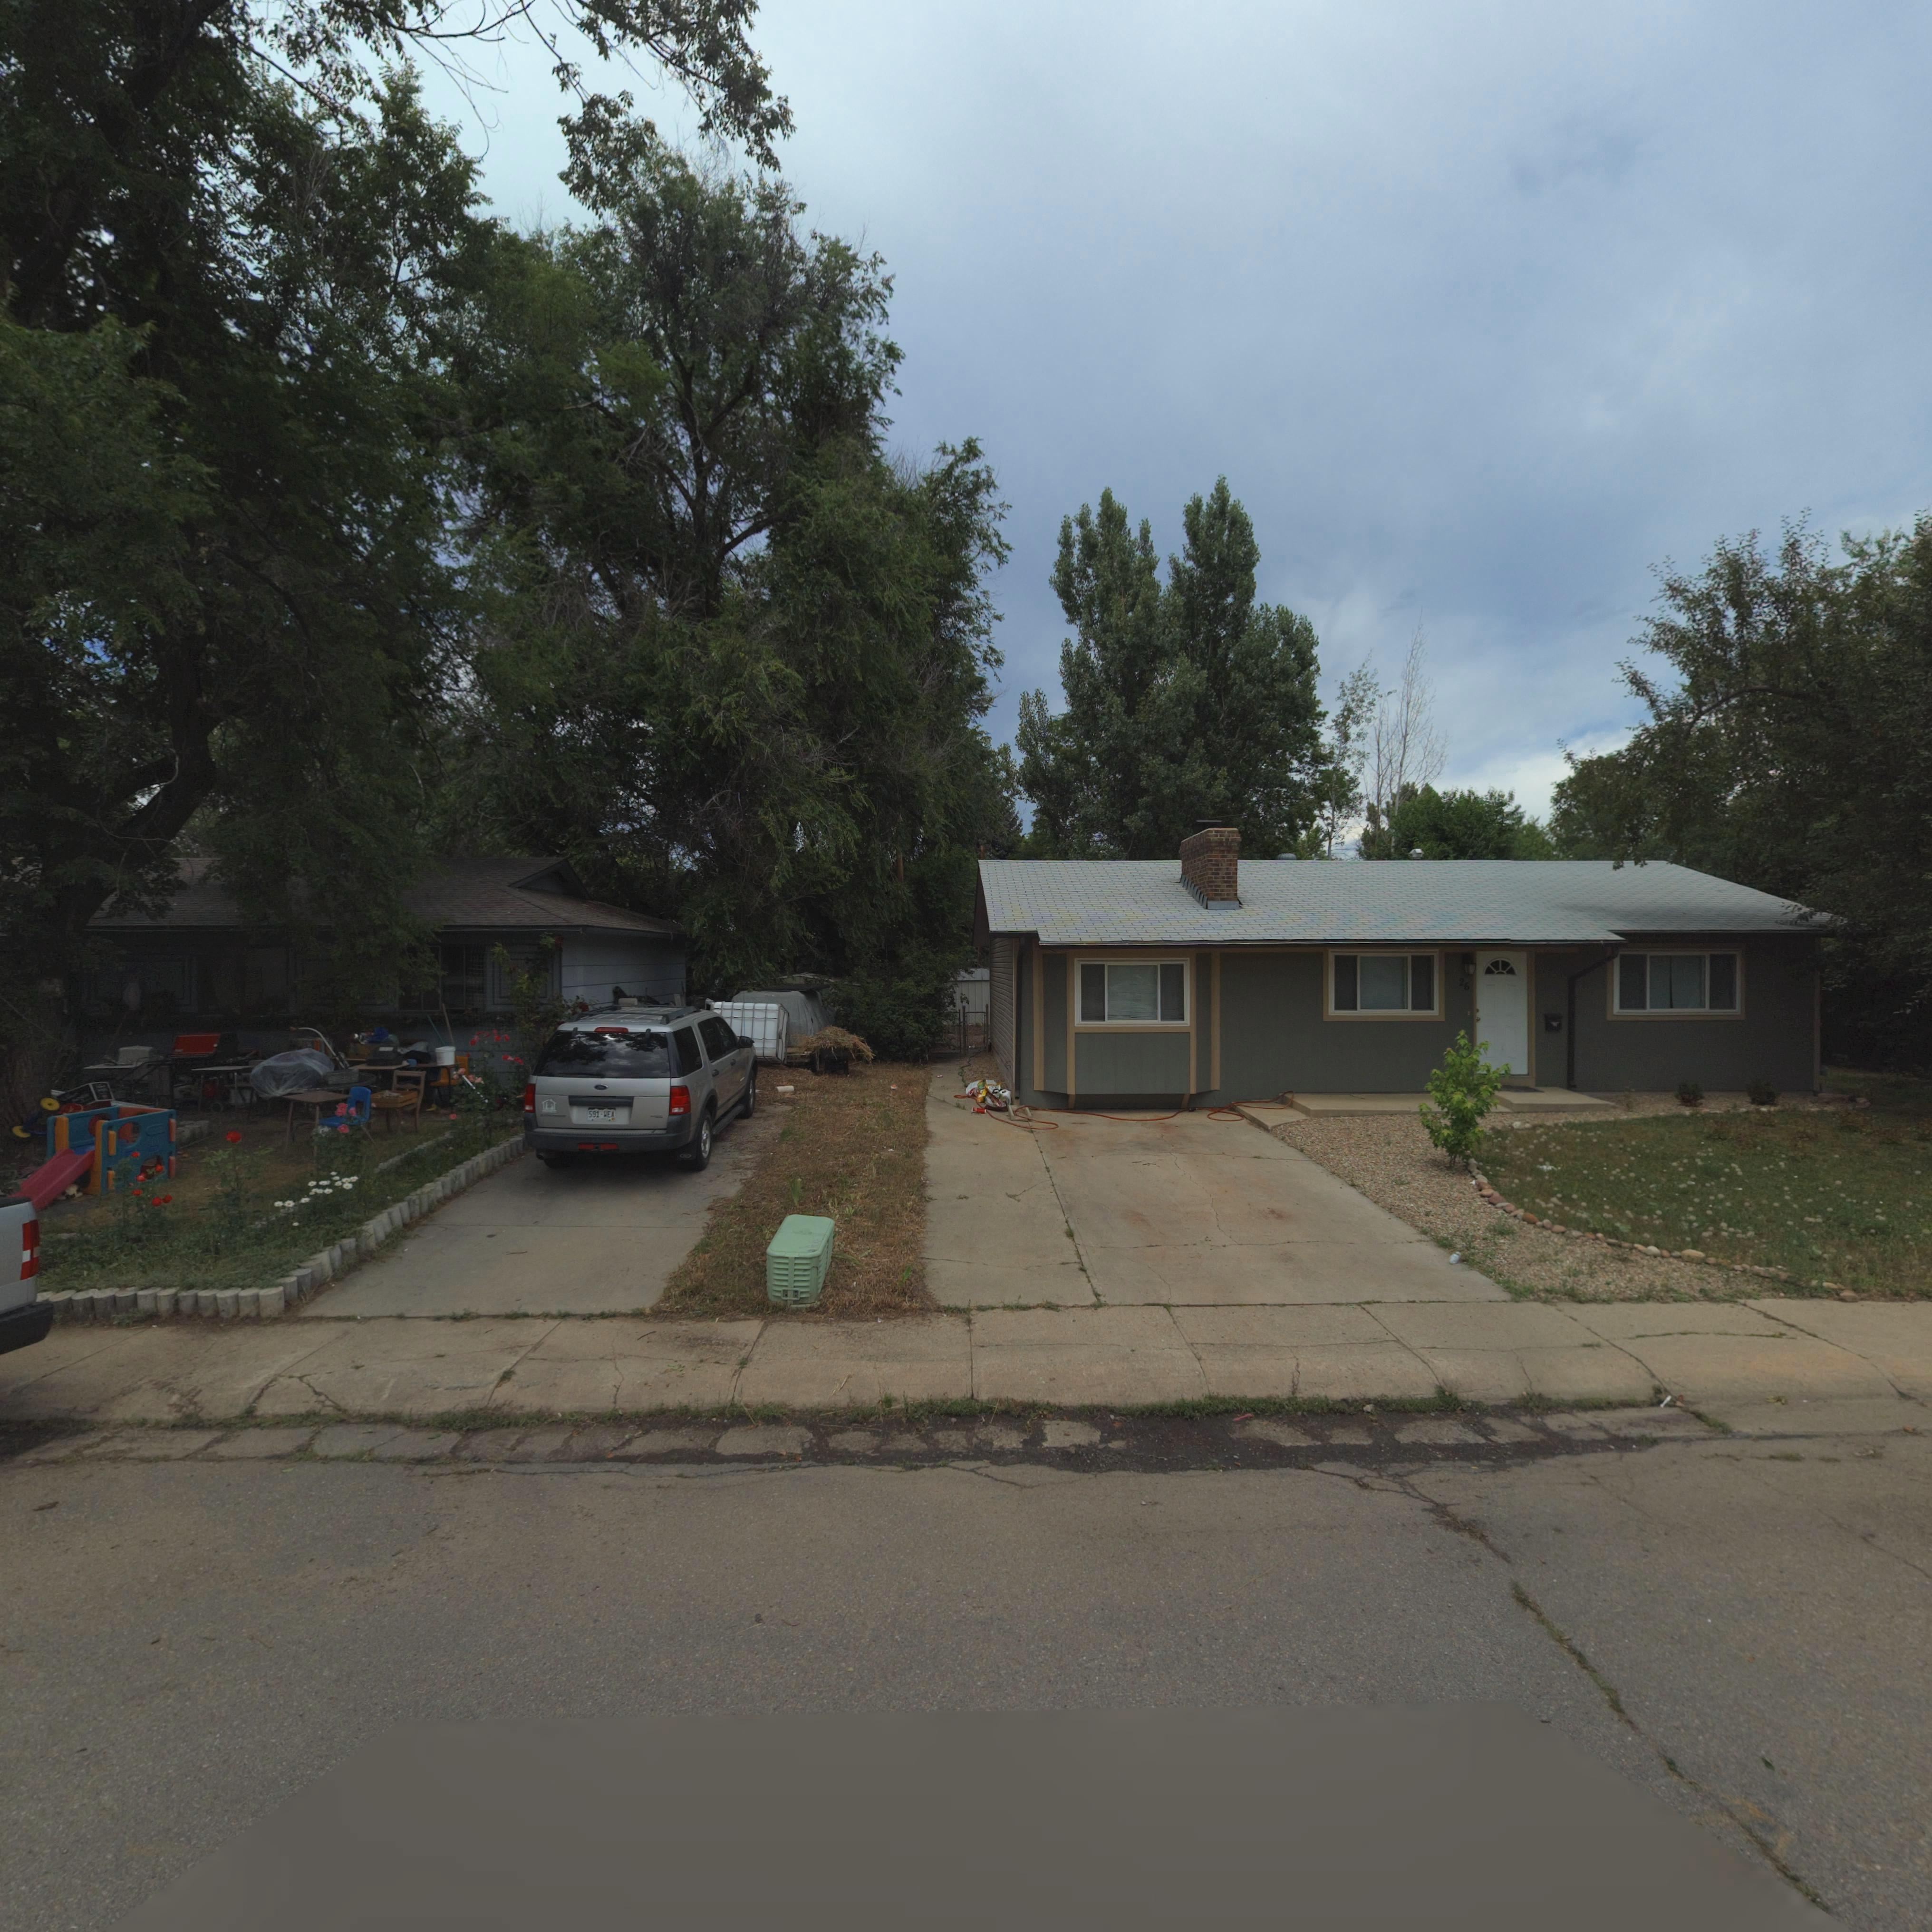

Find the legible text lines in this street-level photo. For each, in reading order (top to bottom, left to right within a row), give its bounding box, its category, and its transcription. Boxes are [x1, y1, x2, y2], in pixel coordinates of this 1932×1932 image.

[1459, 977, 1470, 990] StreetNumber: 26